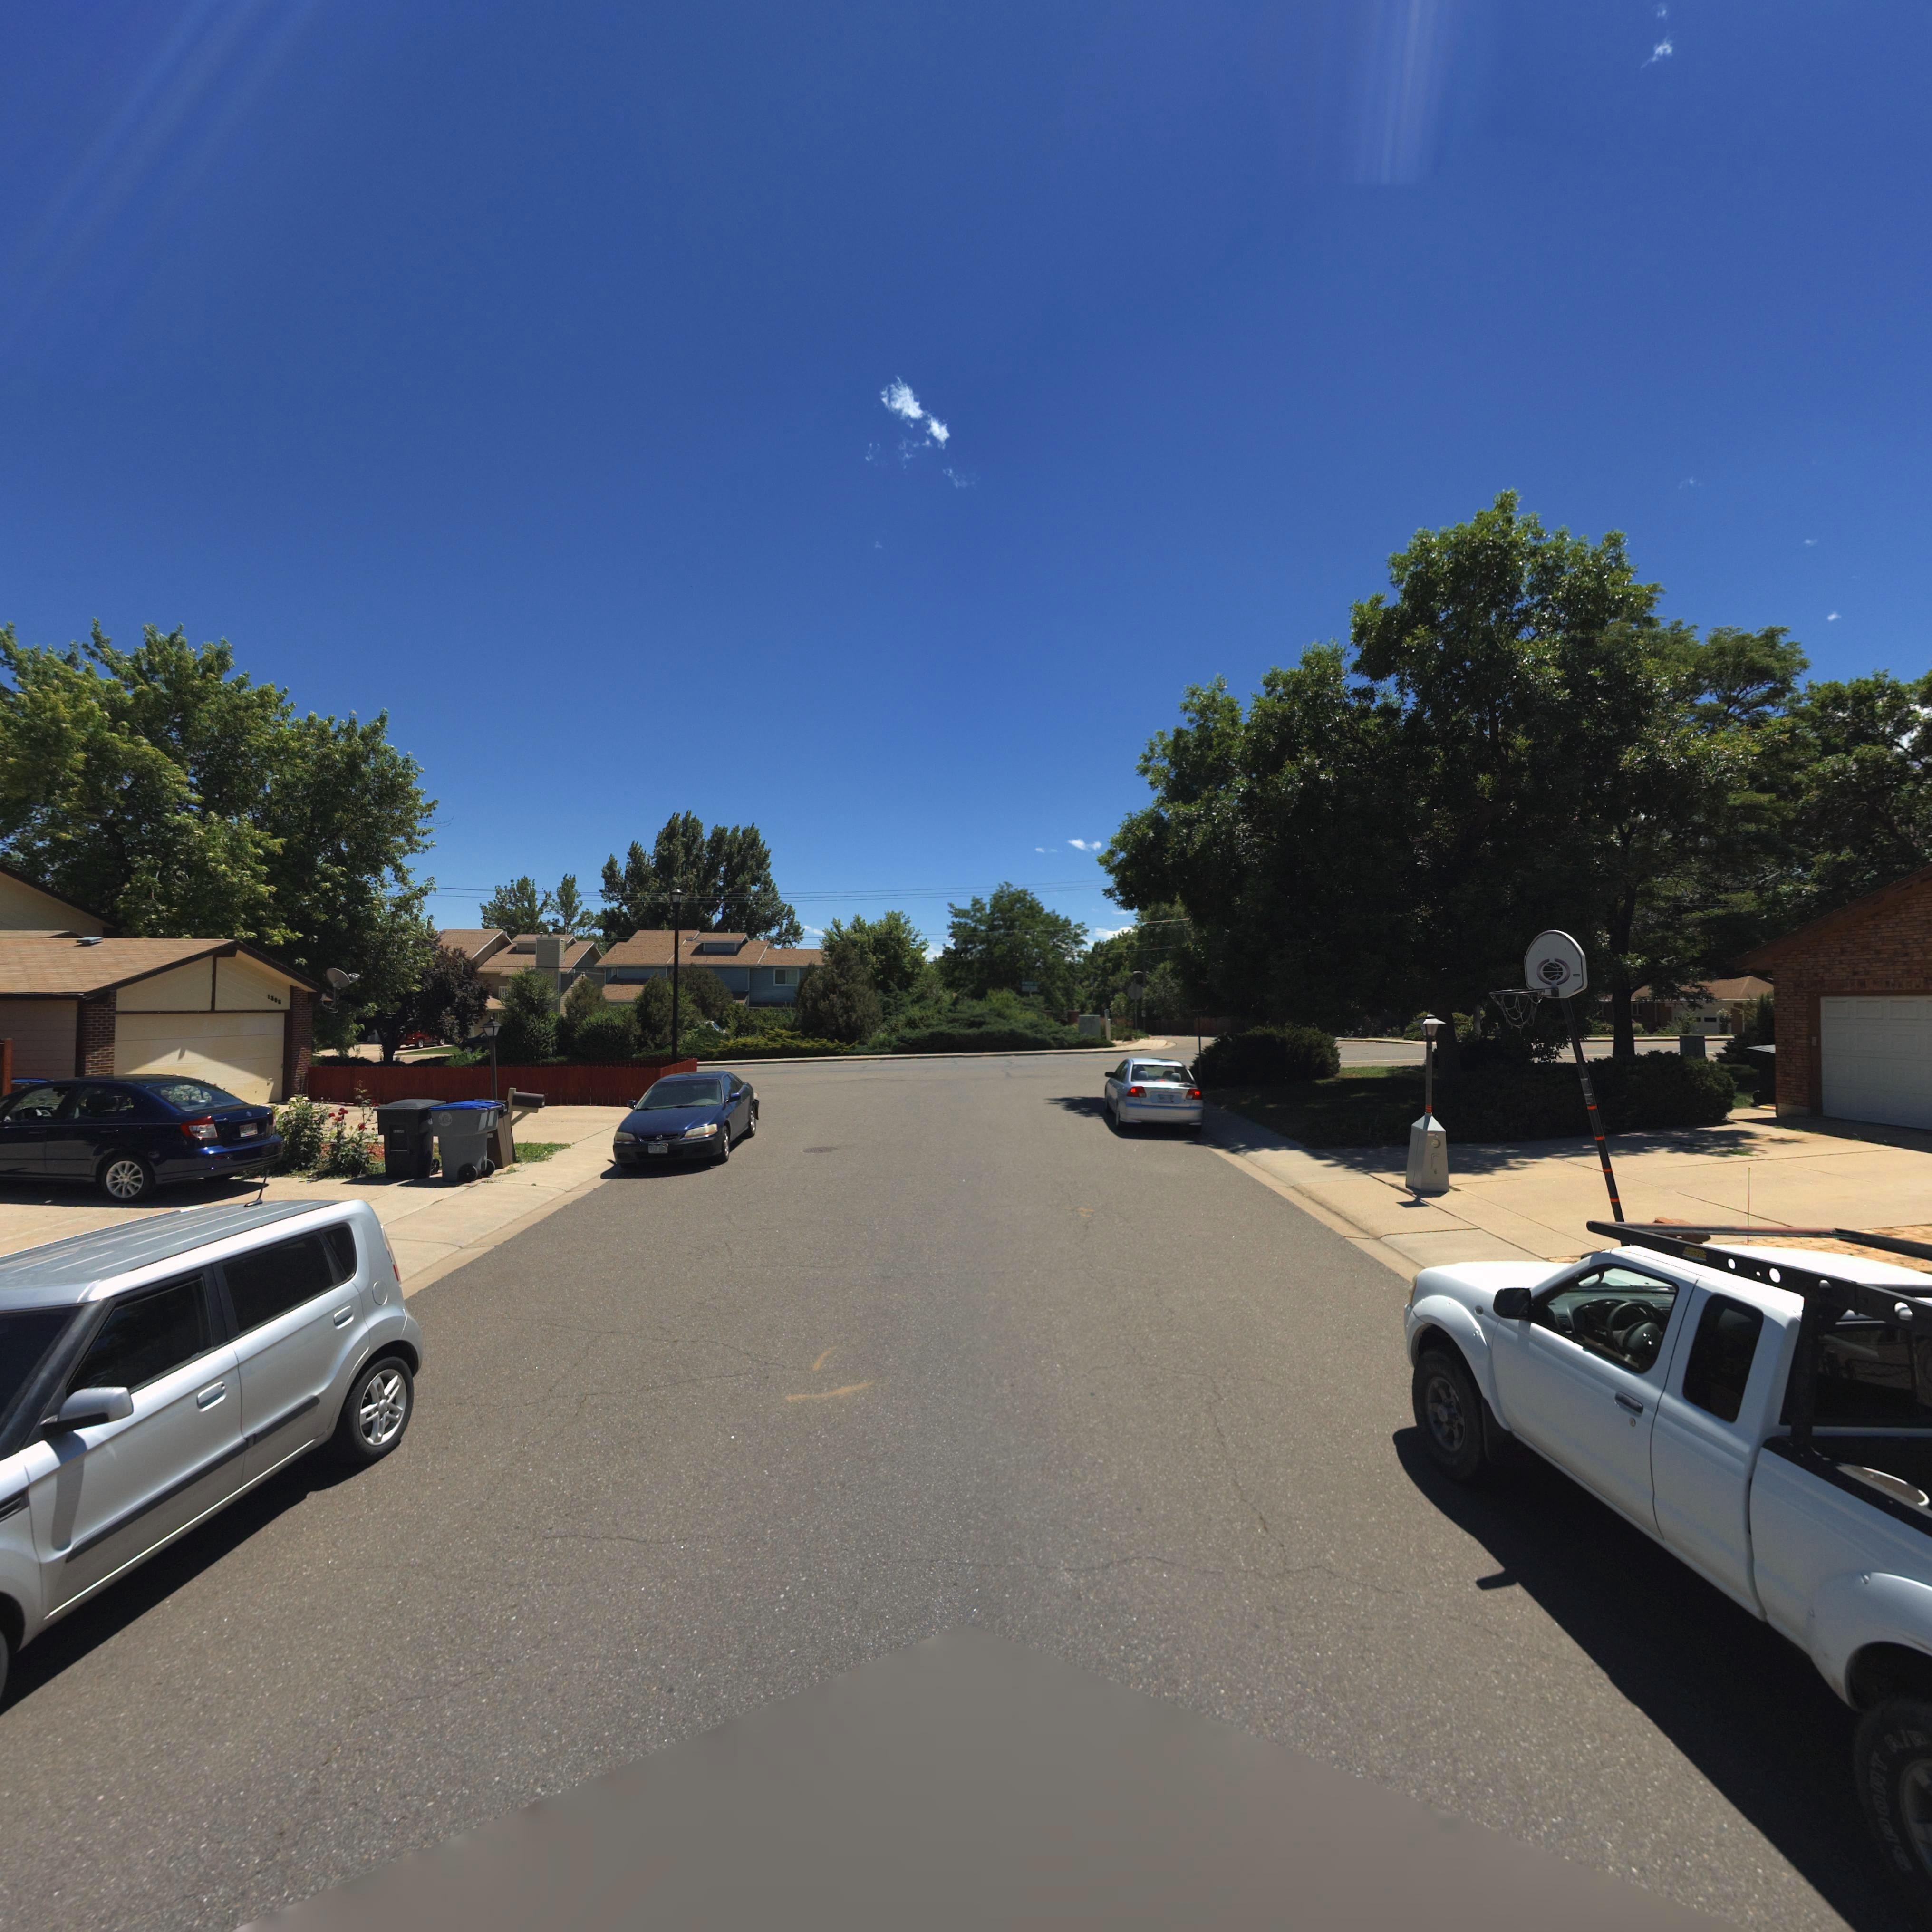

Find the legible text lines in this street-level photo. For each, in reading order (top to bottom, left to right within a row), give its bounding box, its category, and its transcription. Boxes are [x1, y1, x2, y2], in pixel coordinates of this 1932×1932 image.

[267, 994, 281, 1005] StreetNumber: 130*